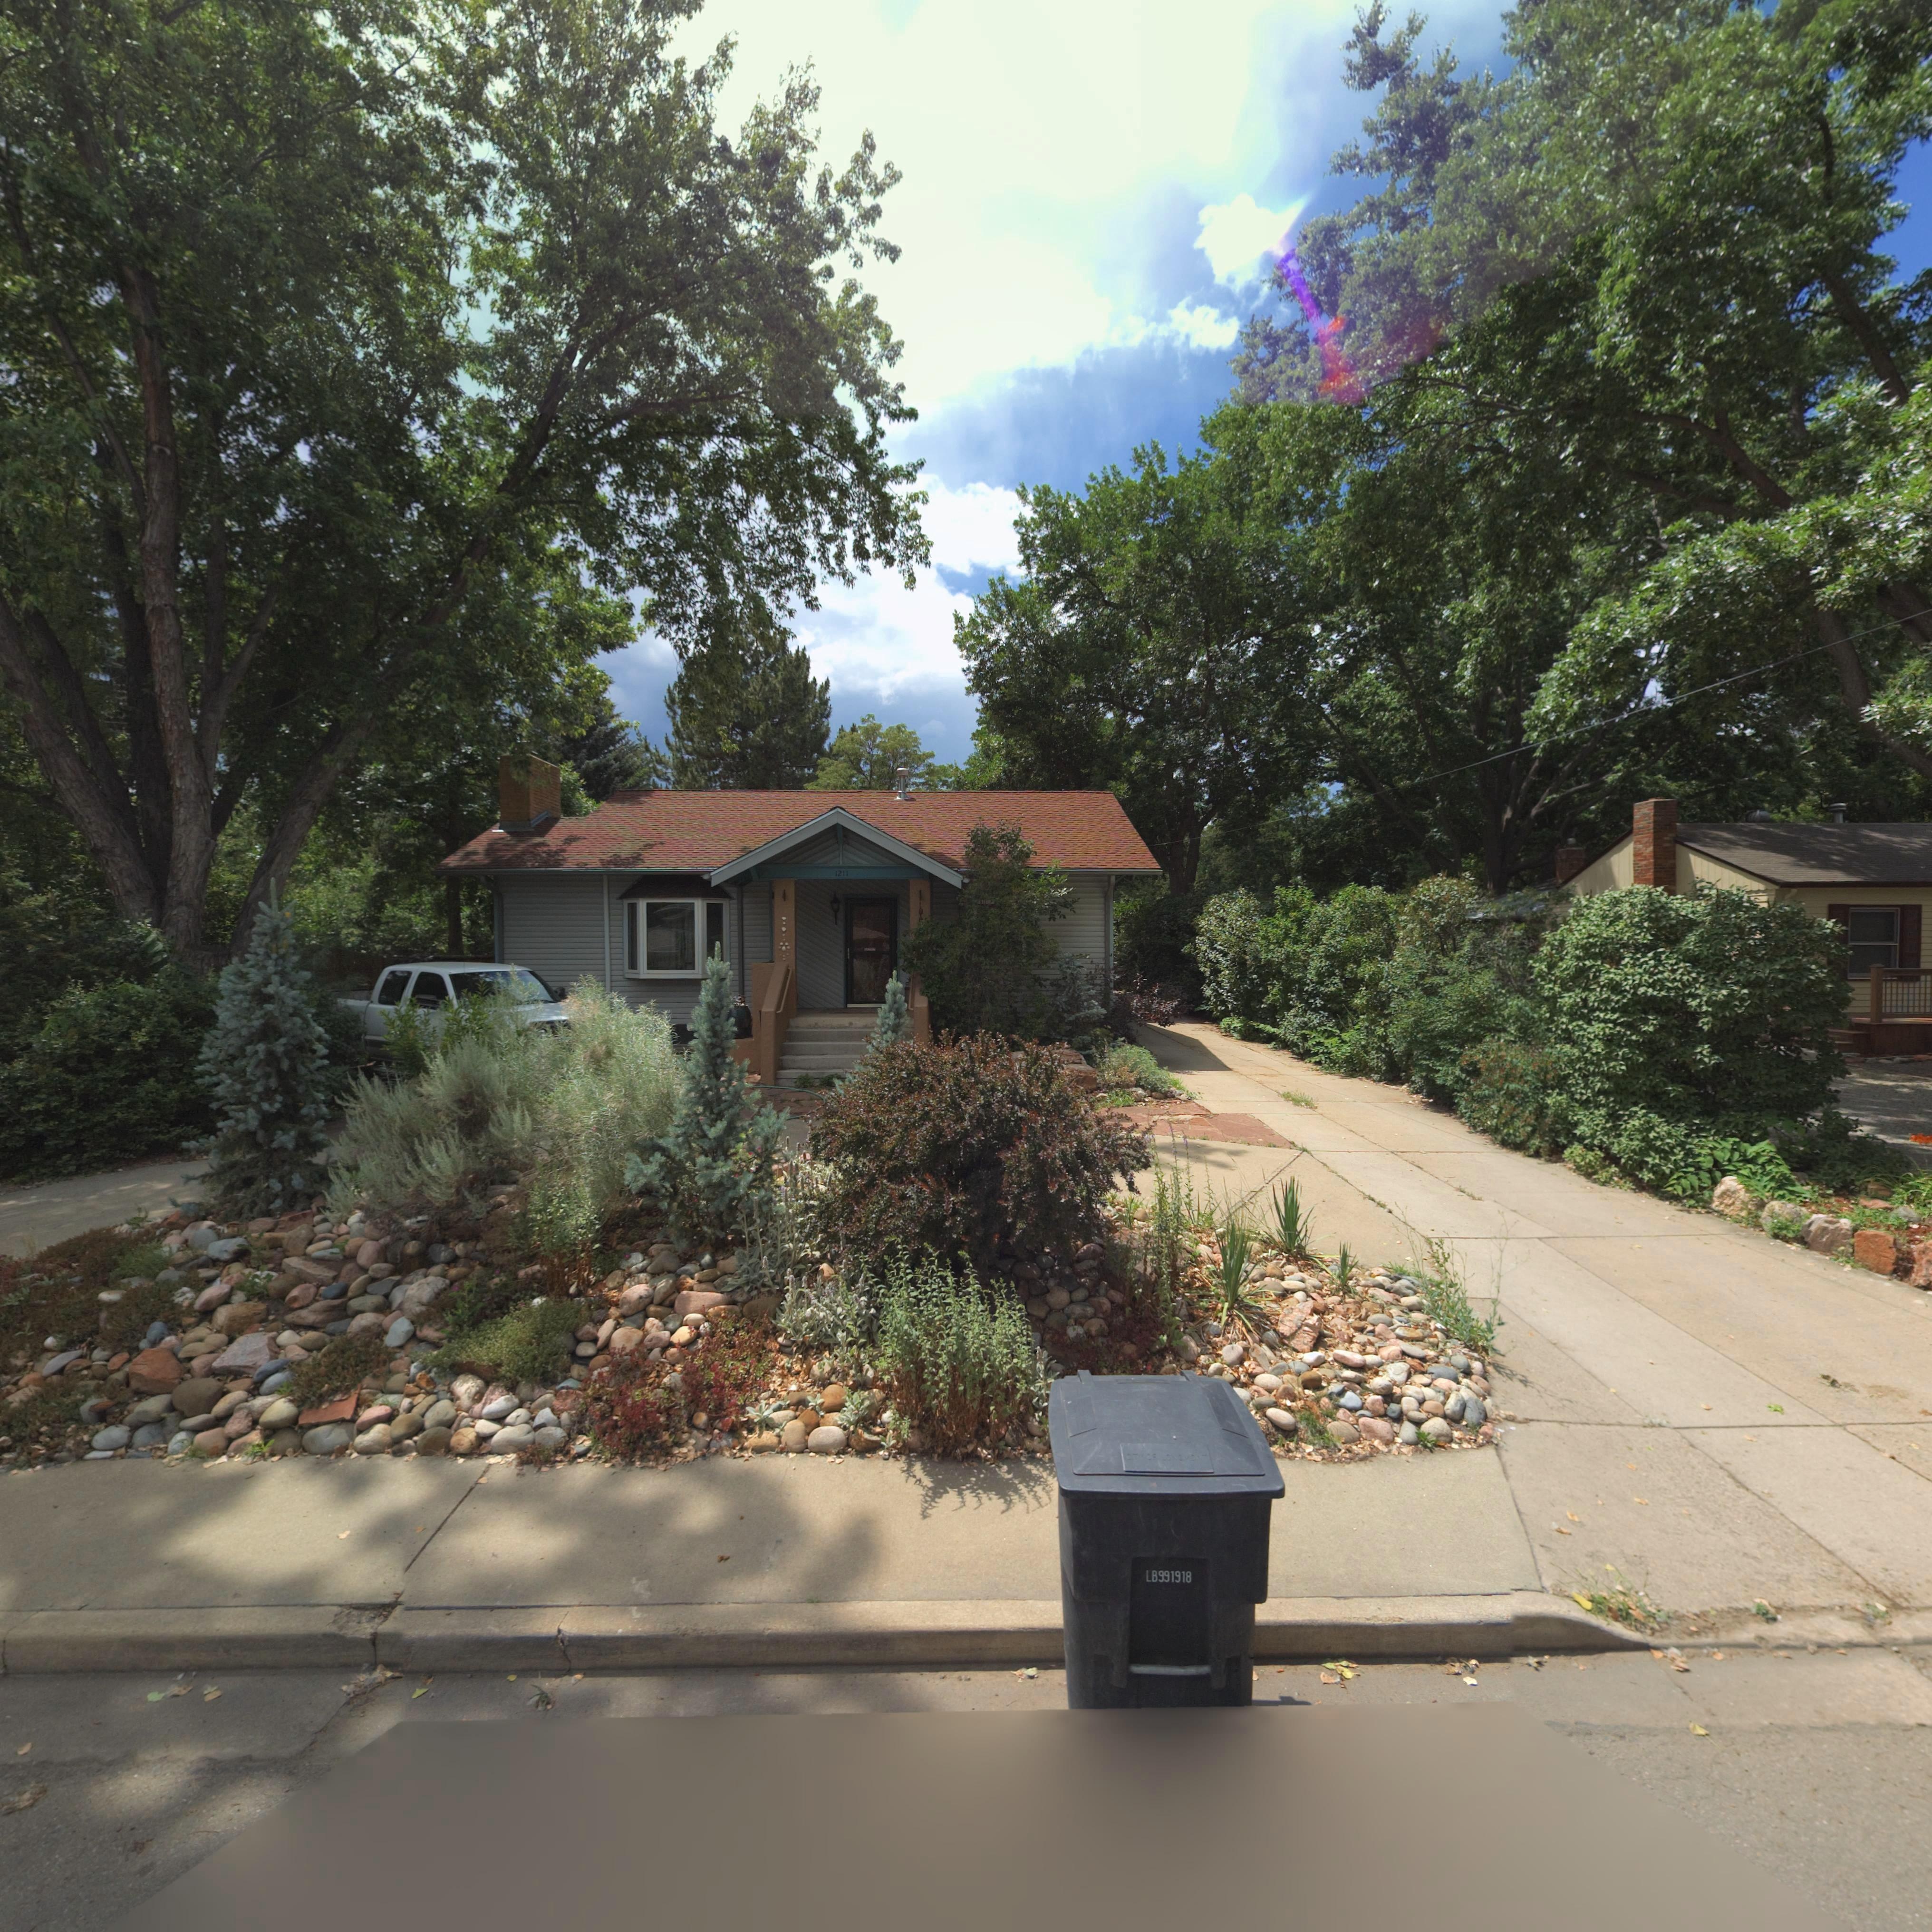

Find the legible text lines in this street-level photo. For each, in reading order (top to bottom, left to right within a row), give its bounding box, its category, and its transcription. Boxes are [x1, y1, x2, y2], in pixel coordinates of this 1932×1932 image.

[835, 869, 848, 877] StreetNumber: 1211
[1146, 1570, 1191, 1583] PhoneNumber: 1839 318